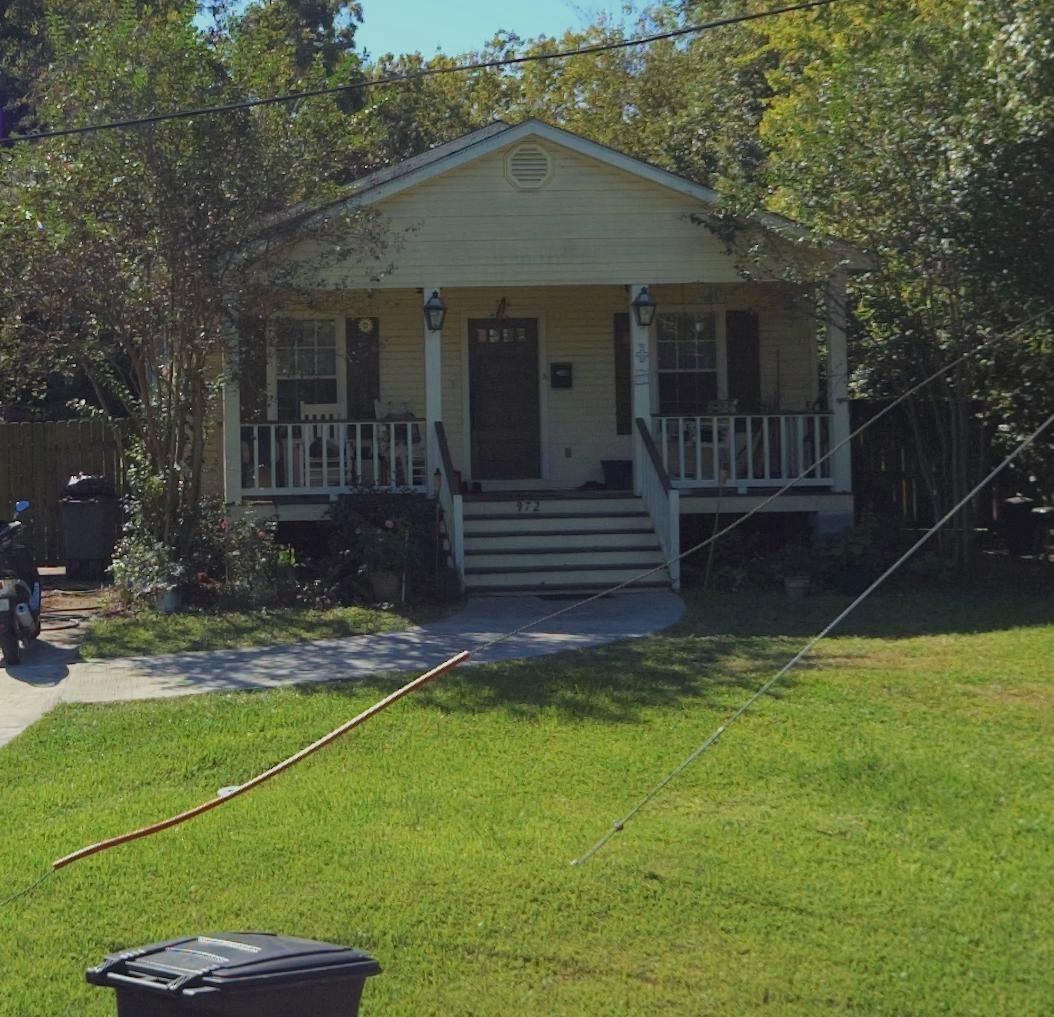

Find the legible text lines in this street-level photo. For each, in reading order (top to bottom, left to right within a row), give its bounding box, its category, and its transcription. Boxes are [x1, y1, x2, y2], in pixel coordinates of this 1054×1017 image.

[515, 499, 543, 514] StreetNumber: 972